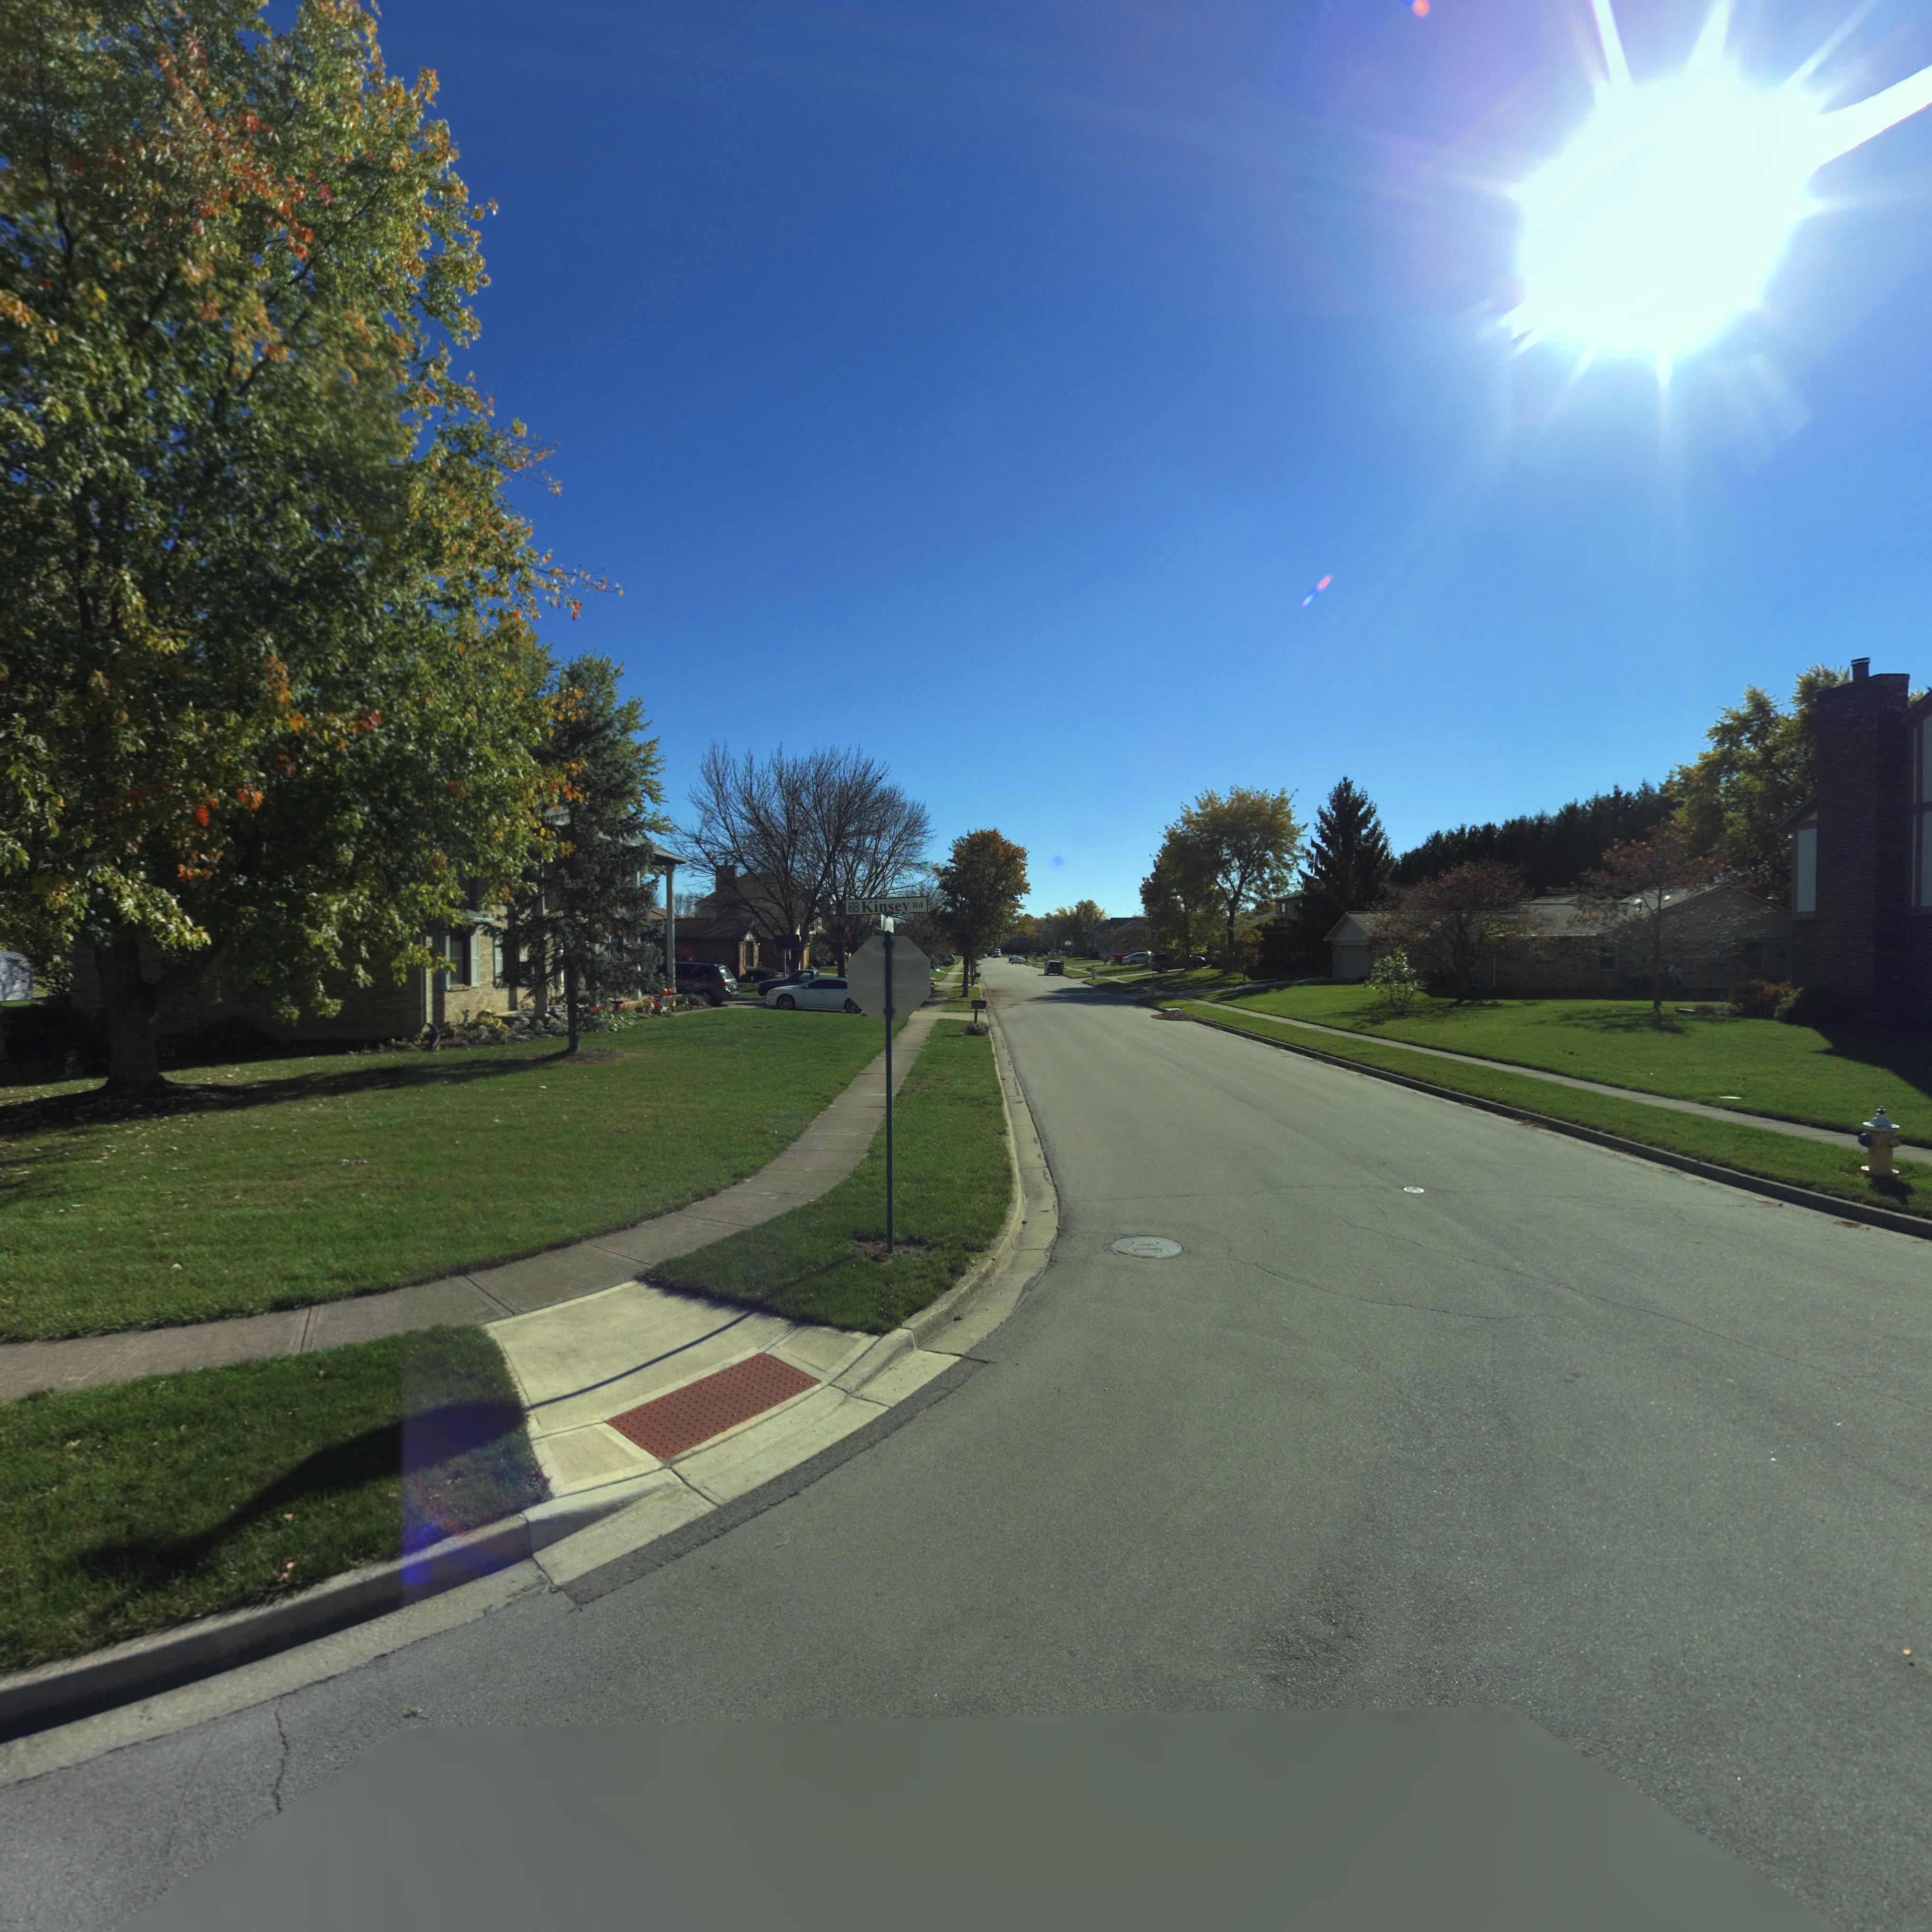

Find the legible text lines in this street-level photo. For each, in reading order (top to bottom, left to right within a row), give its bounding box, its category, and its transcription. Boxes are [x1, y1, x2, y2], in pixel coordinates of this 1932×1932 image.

[860, 899, 924, 915] StreetName: Kinsey Rd
[973, 1002, 982, 1006] StreetNumber: 72**